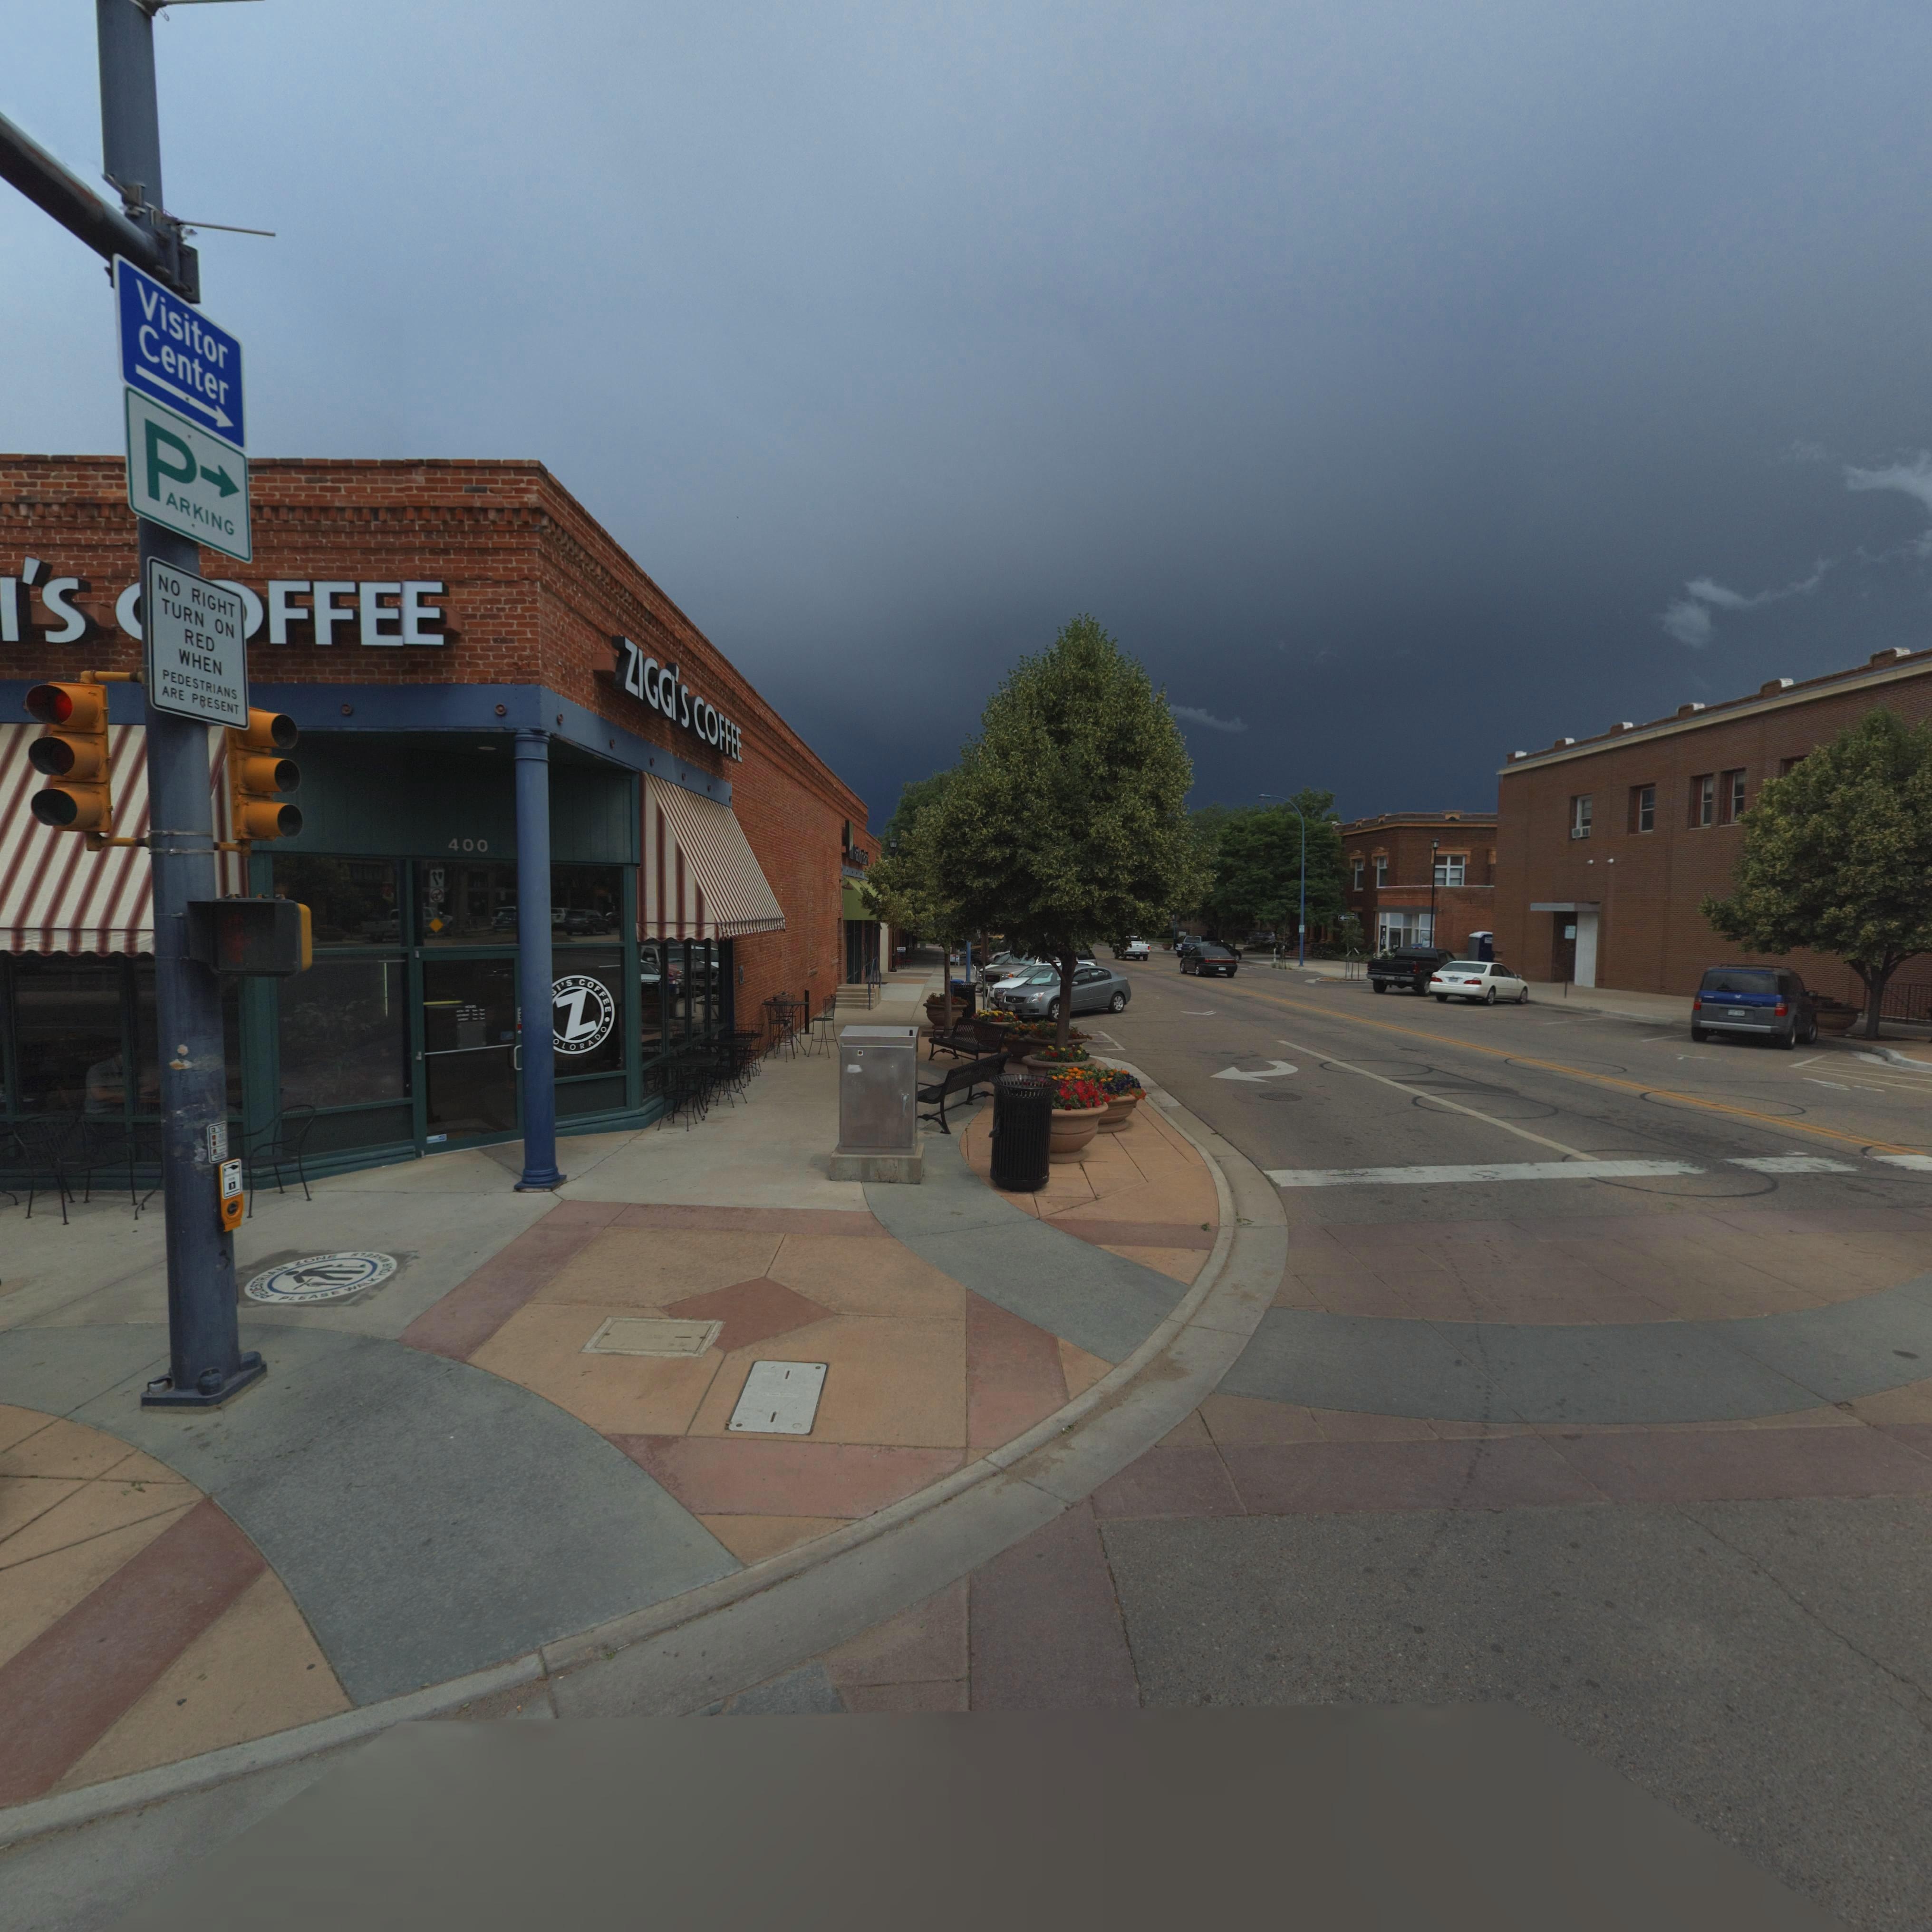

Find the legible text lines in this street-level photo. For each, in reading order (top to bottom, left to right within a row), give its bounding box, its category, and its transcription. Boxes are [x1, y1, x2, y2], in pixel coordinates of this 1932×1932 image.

[3, 553, 446, 648] BusinessName: ****I'S **FFEE
[624, 634, 743, 764] BusinessName: ZIGGI'S COFFEE
[447, 837, 488, 853] StreetNumber: 400
[549, 977, 611, 1013] BusinessName: ****I'S COFFEE